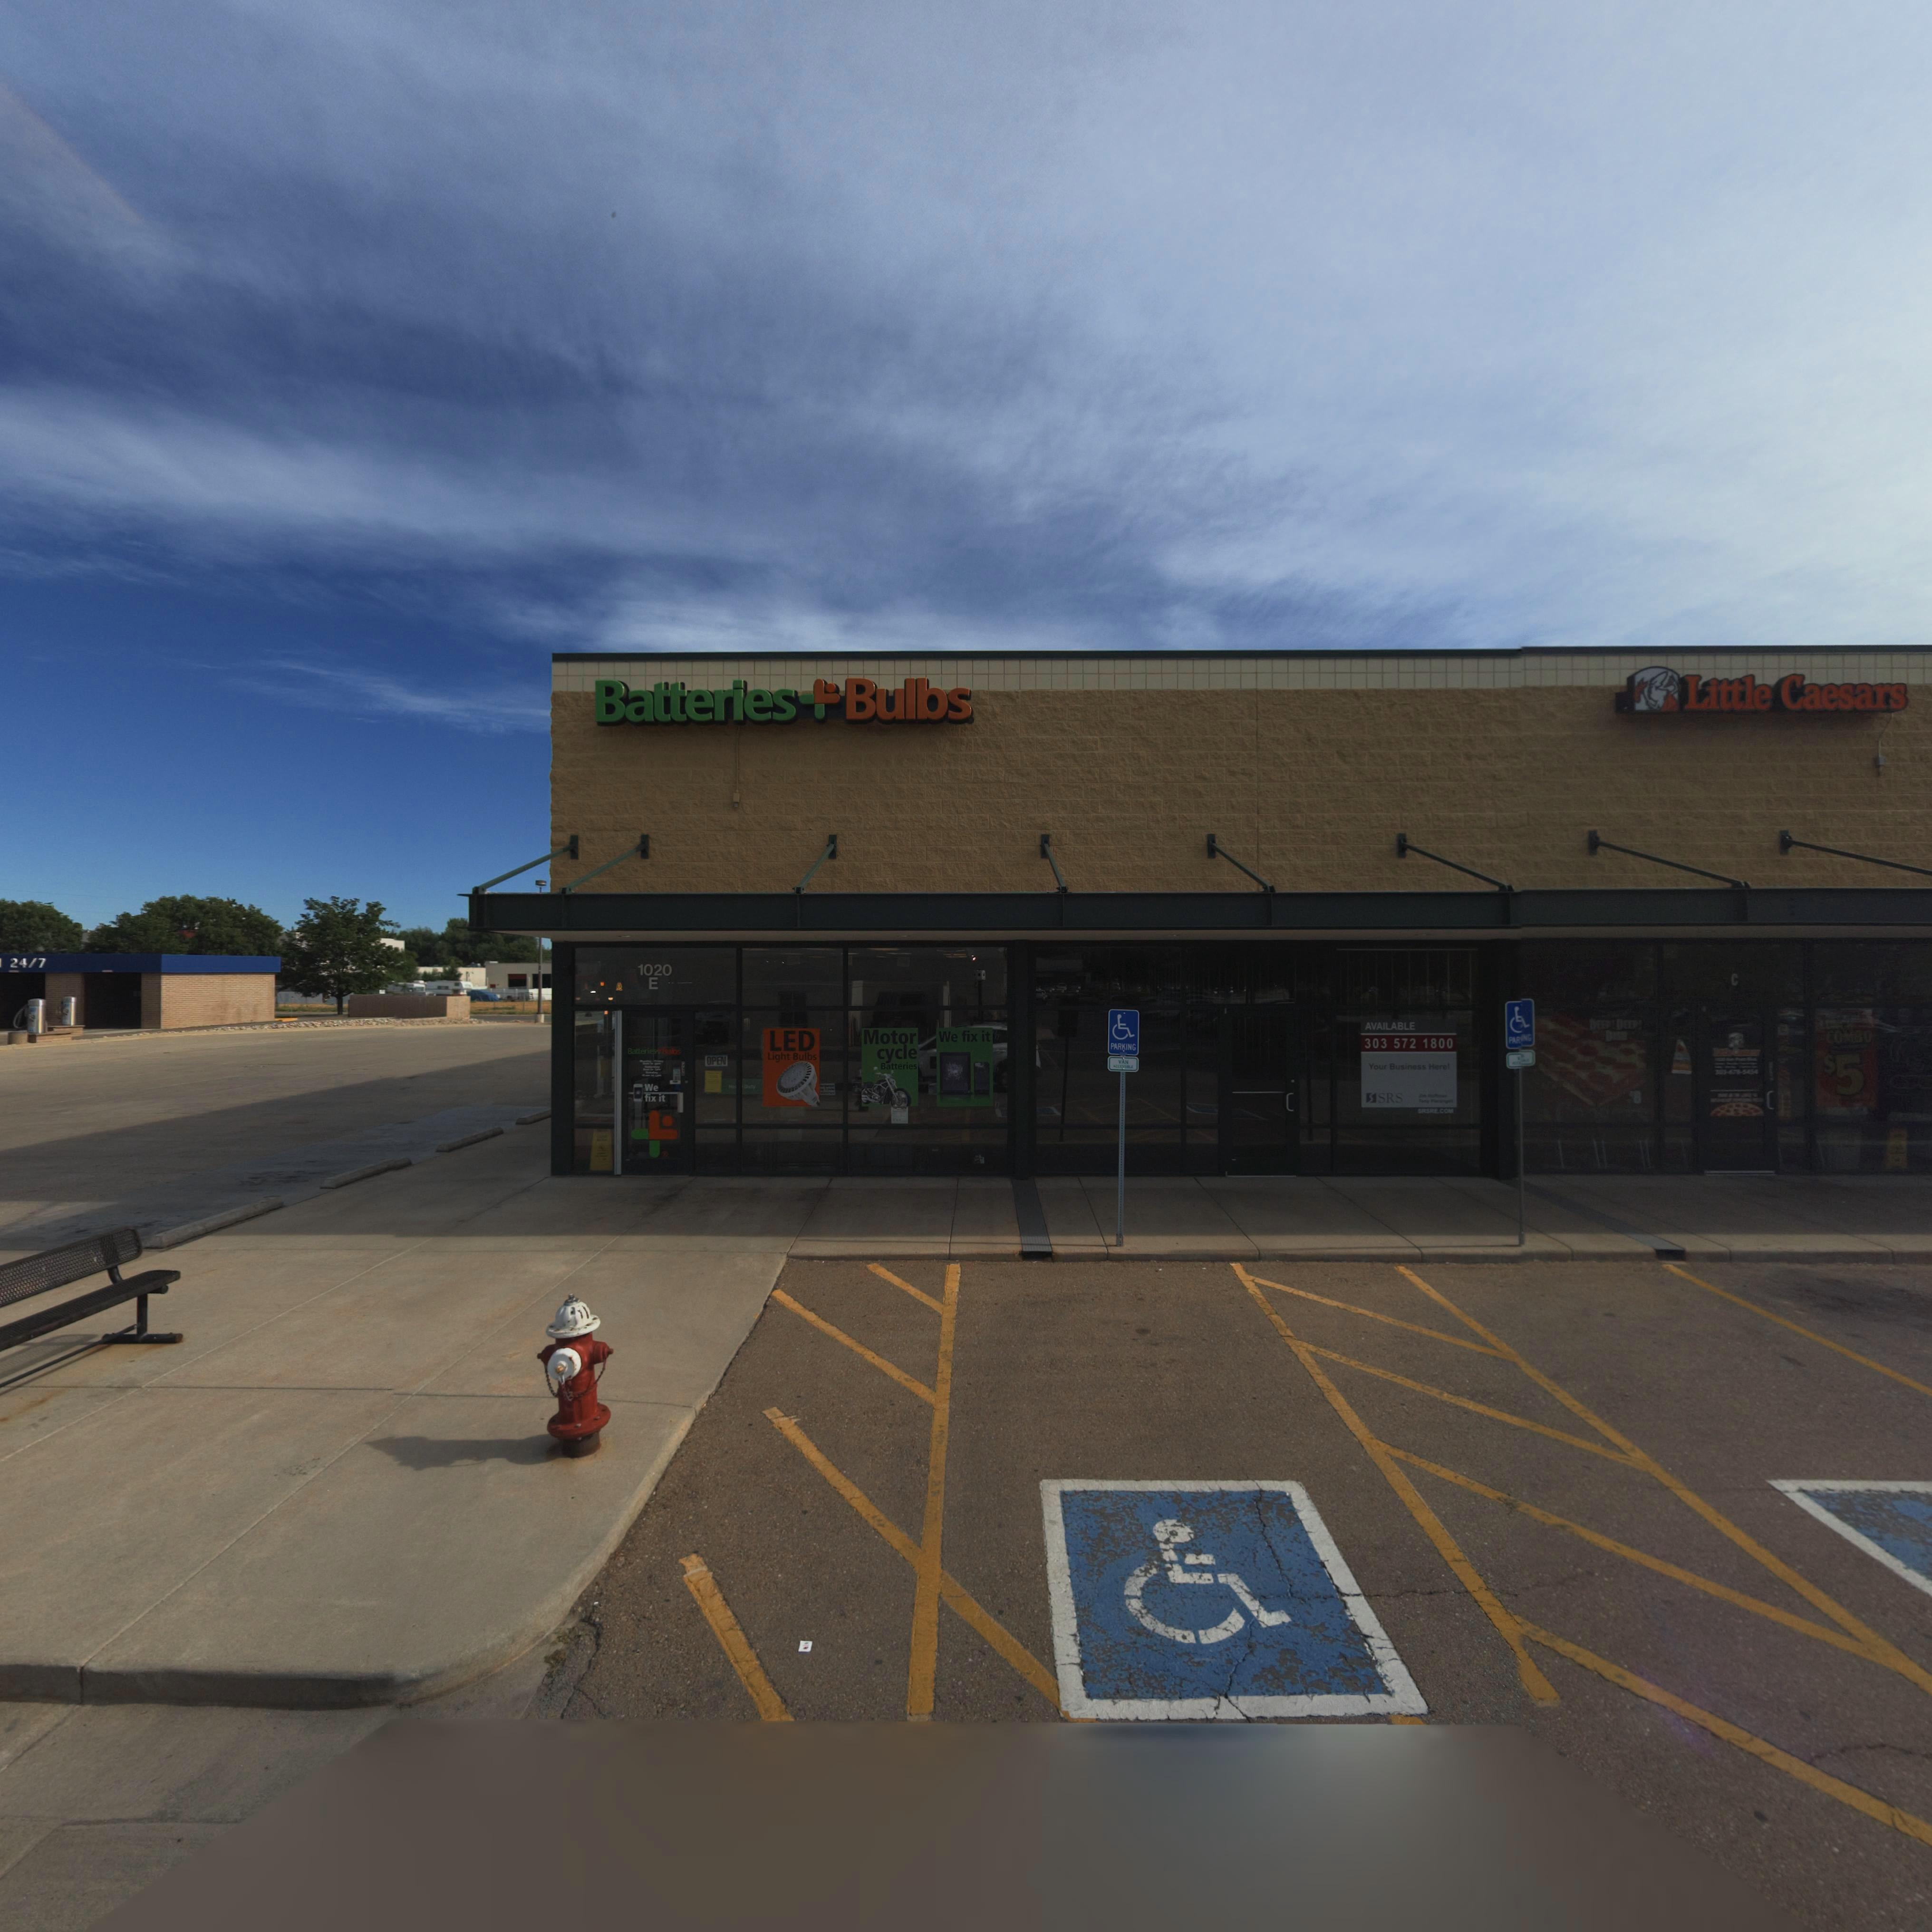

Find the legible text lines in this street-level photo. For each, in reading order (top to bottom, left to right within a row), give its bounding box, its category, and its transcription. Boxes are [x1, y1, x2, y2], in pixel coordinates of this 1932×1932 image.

[1684, 674, 1906, 710] BusinessName: Little Caesars
[594, 677, 974, 723] BusinessName: Batteries * Bulbs
[637, 964, 672, 976] StreetNumber: 1020
[628, 1048, 681, 1054] BusinessName: Batteries * Bulbs
[1713, 1047, 1761, 1056] BusinessName: L***** C*****s